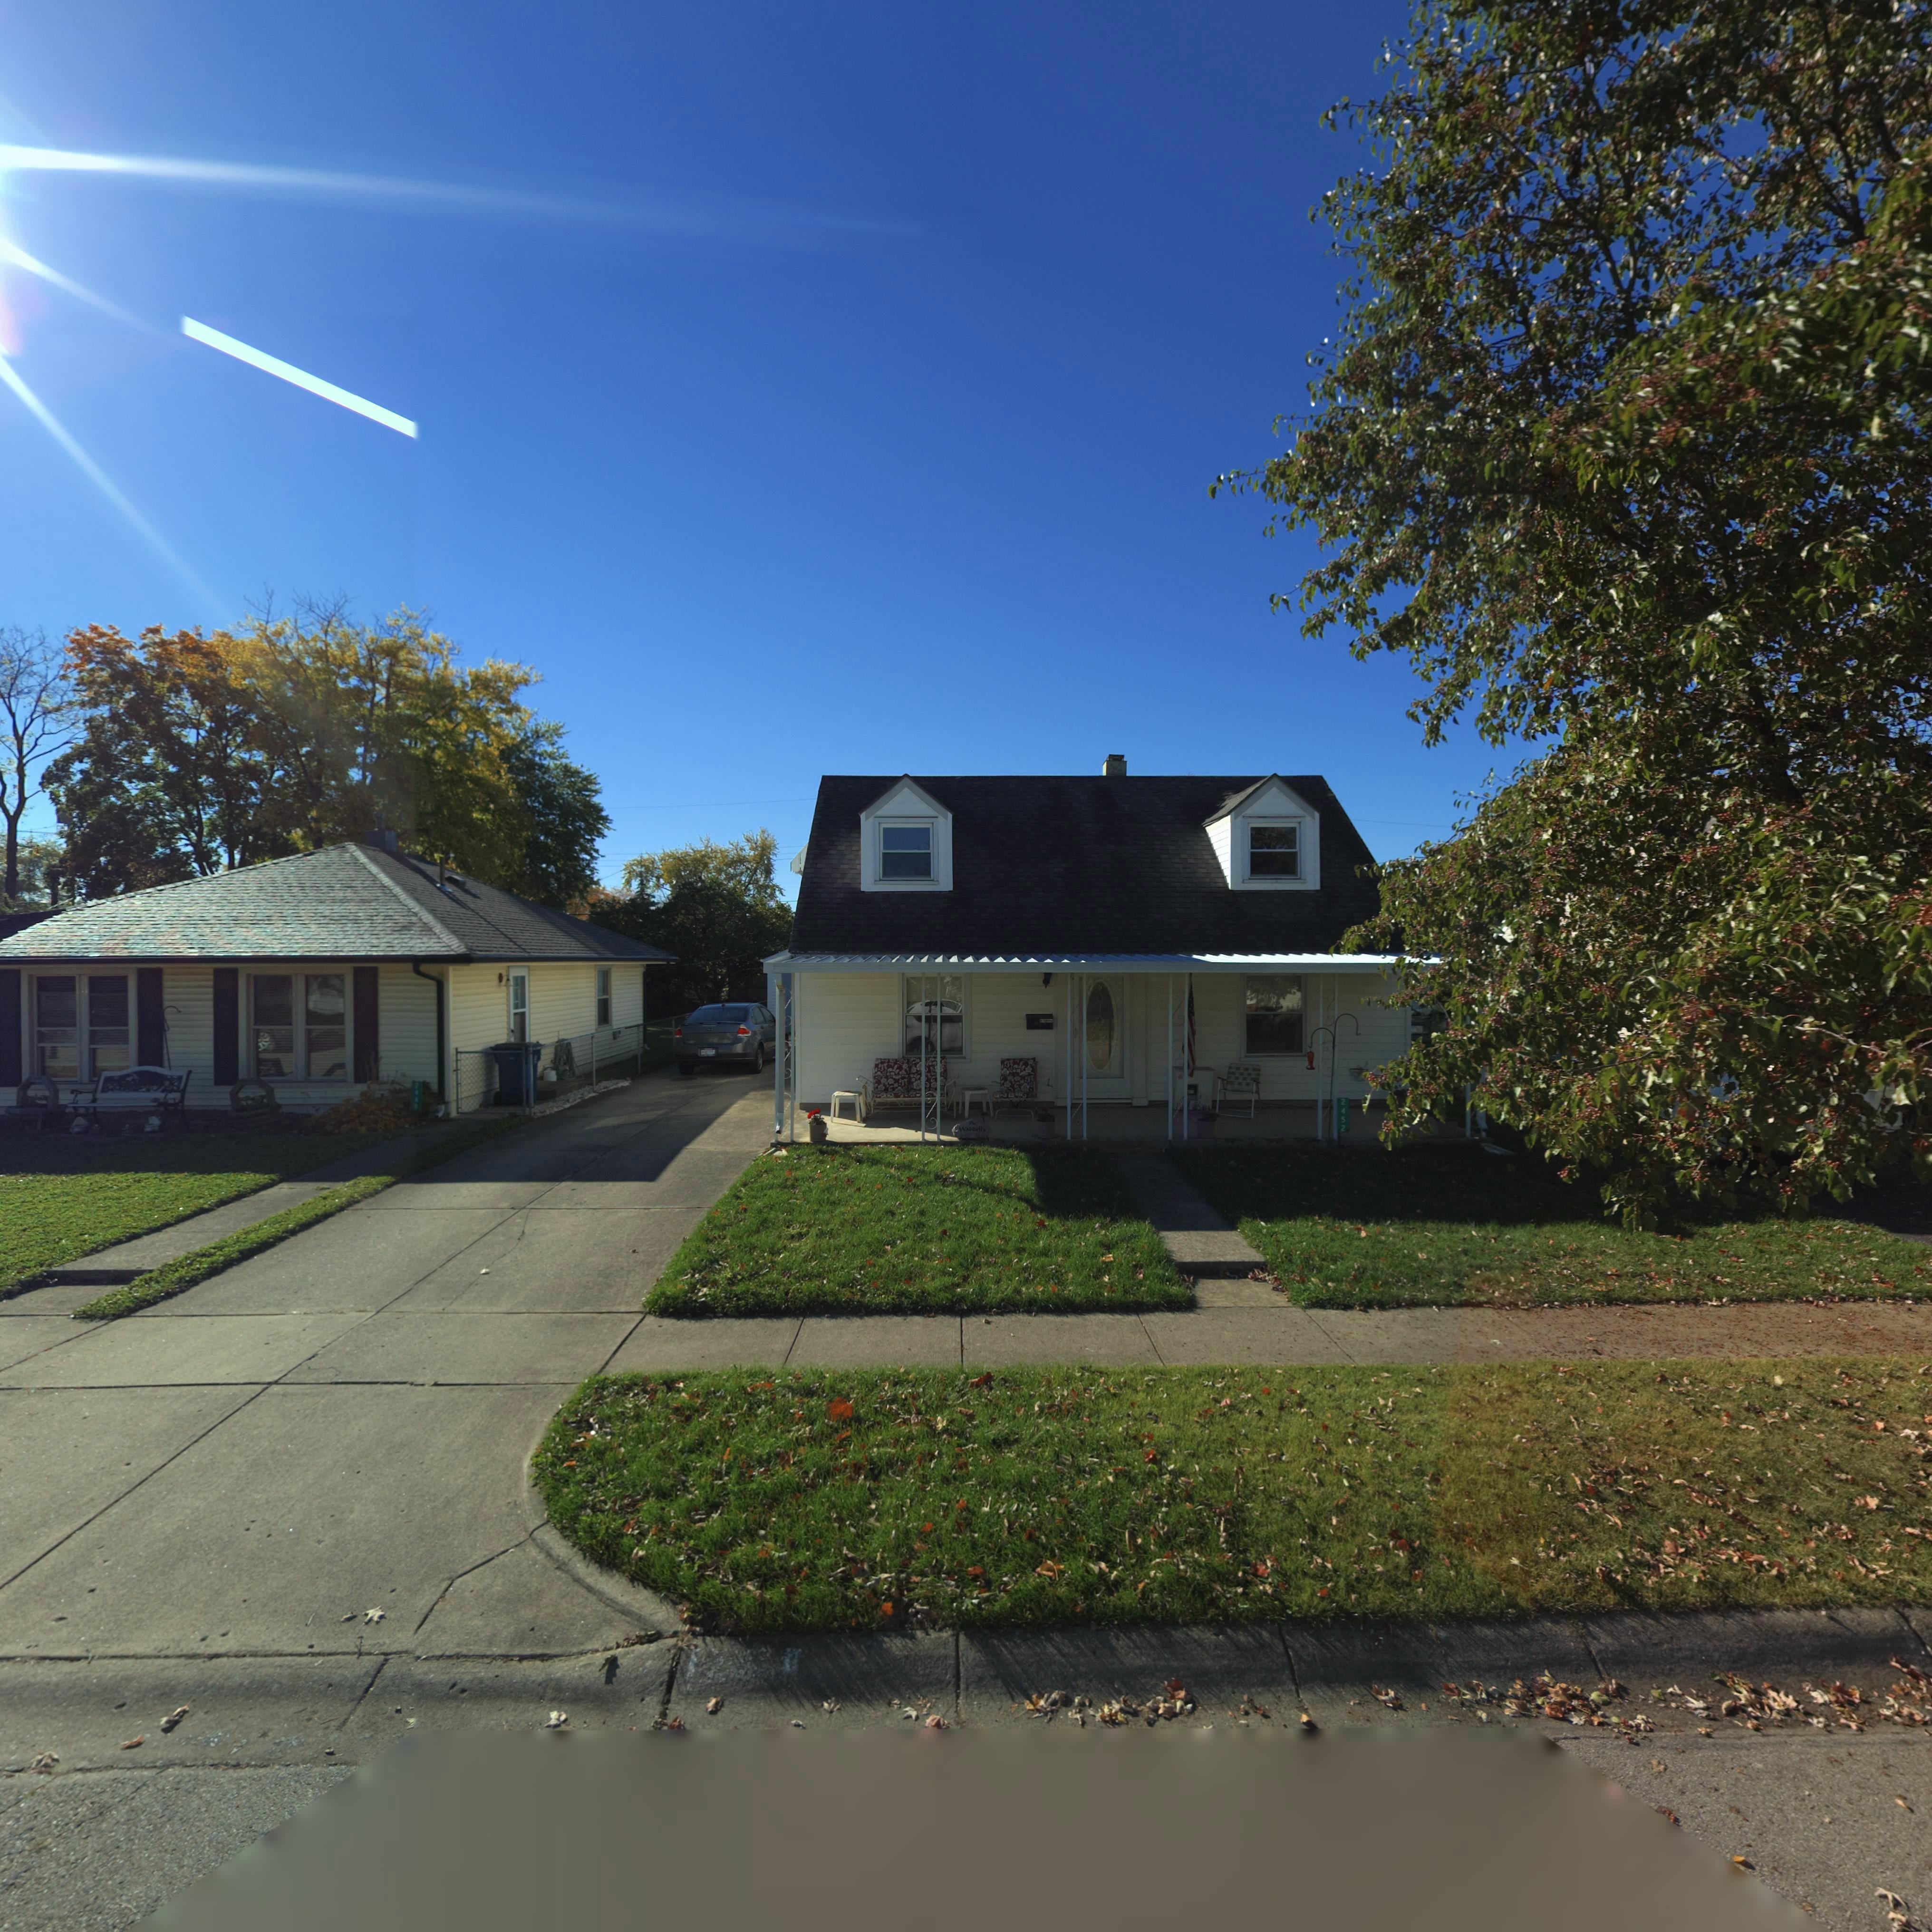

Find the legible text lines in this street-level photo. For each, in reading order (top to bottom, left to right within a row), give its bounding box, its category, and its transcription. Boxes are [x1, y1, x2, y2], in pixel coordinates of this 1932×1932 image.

[1340, 1097, 1347, 1133] StreetNumber: 2452